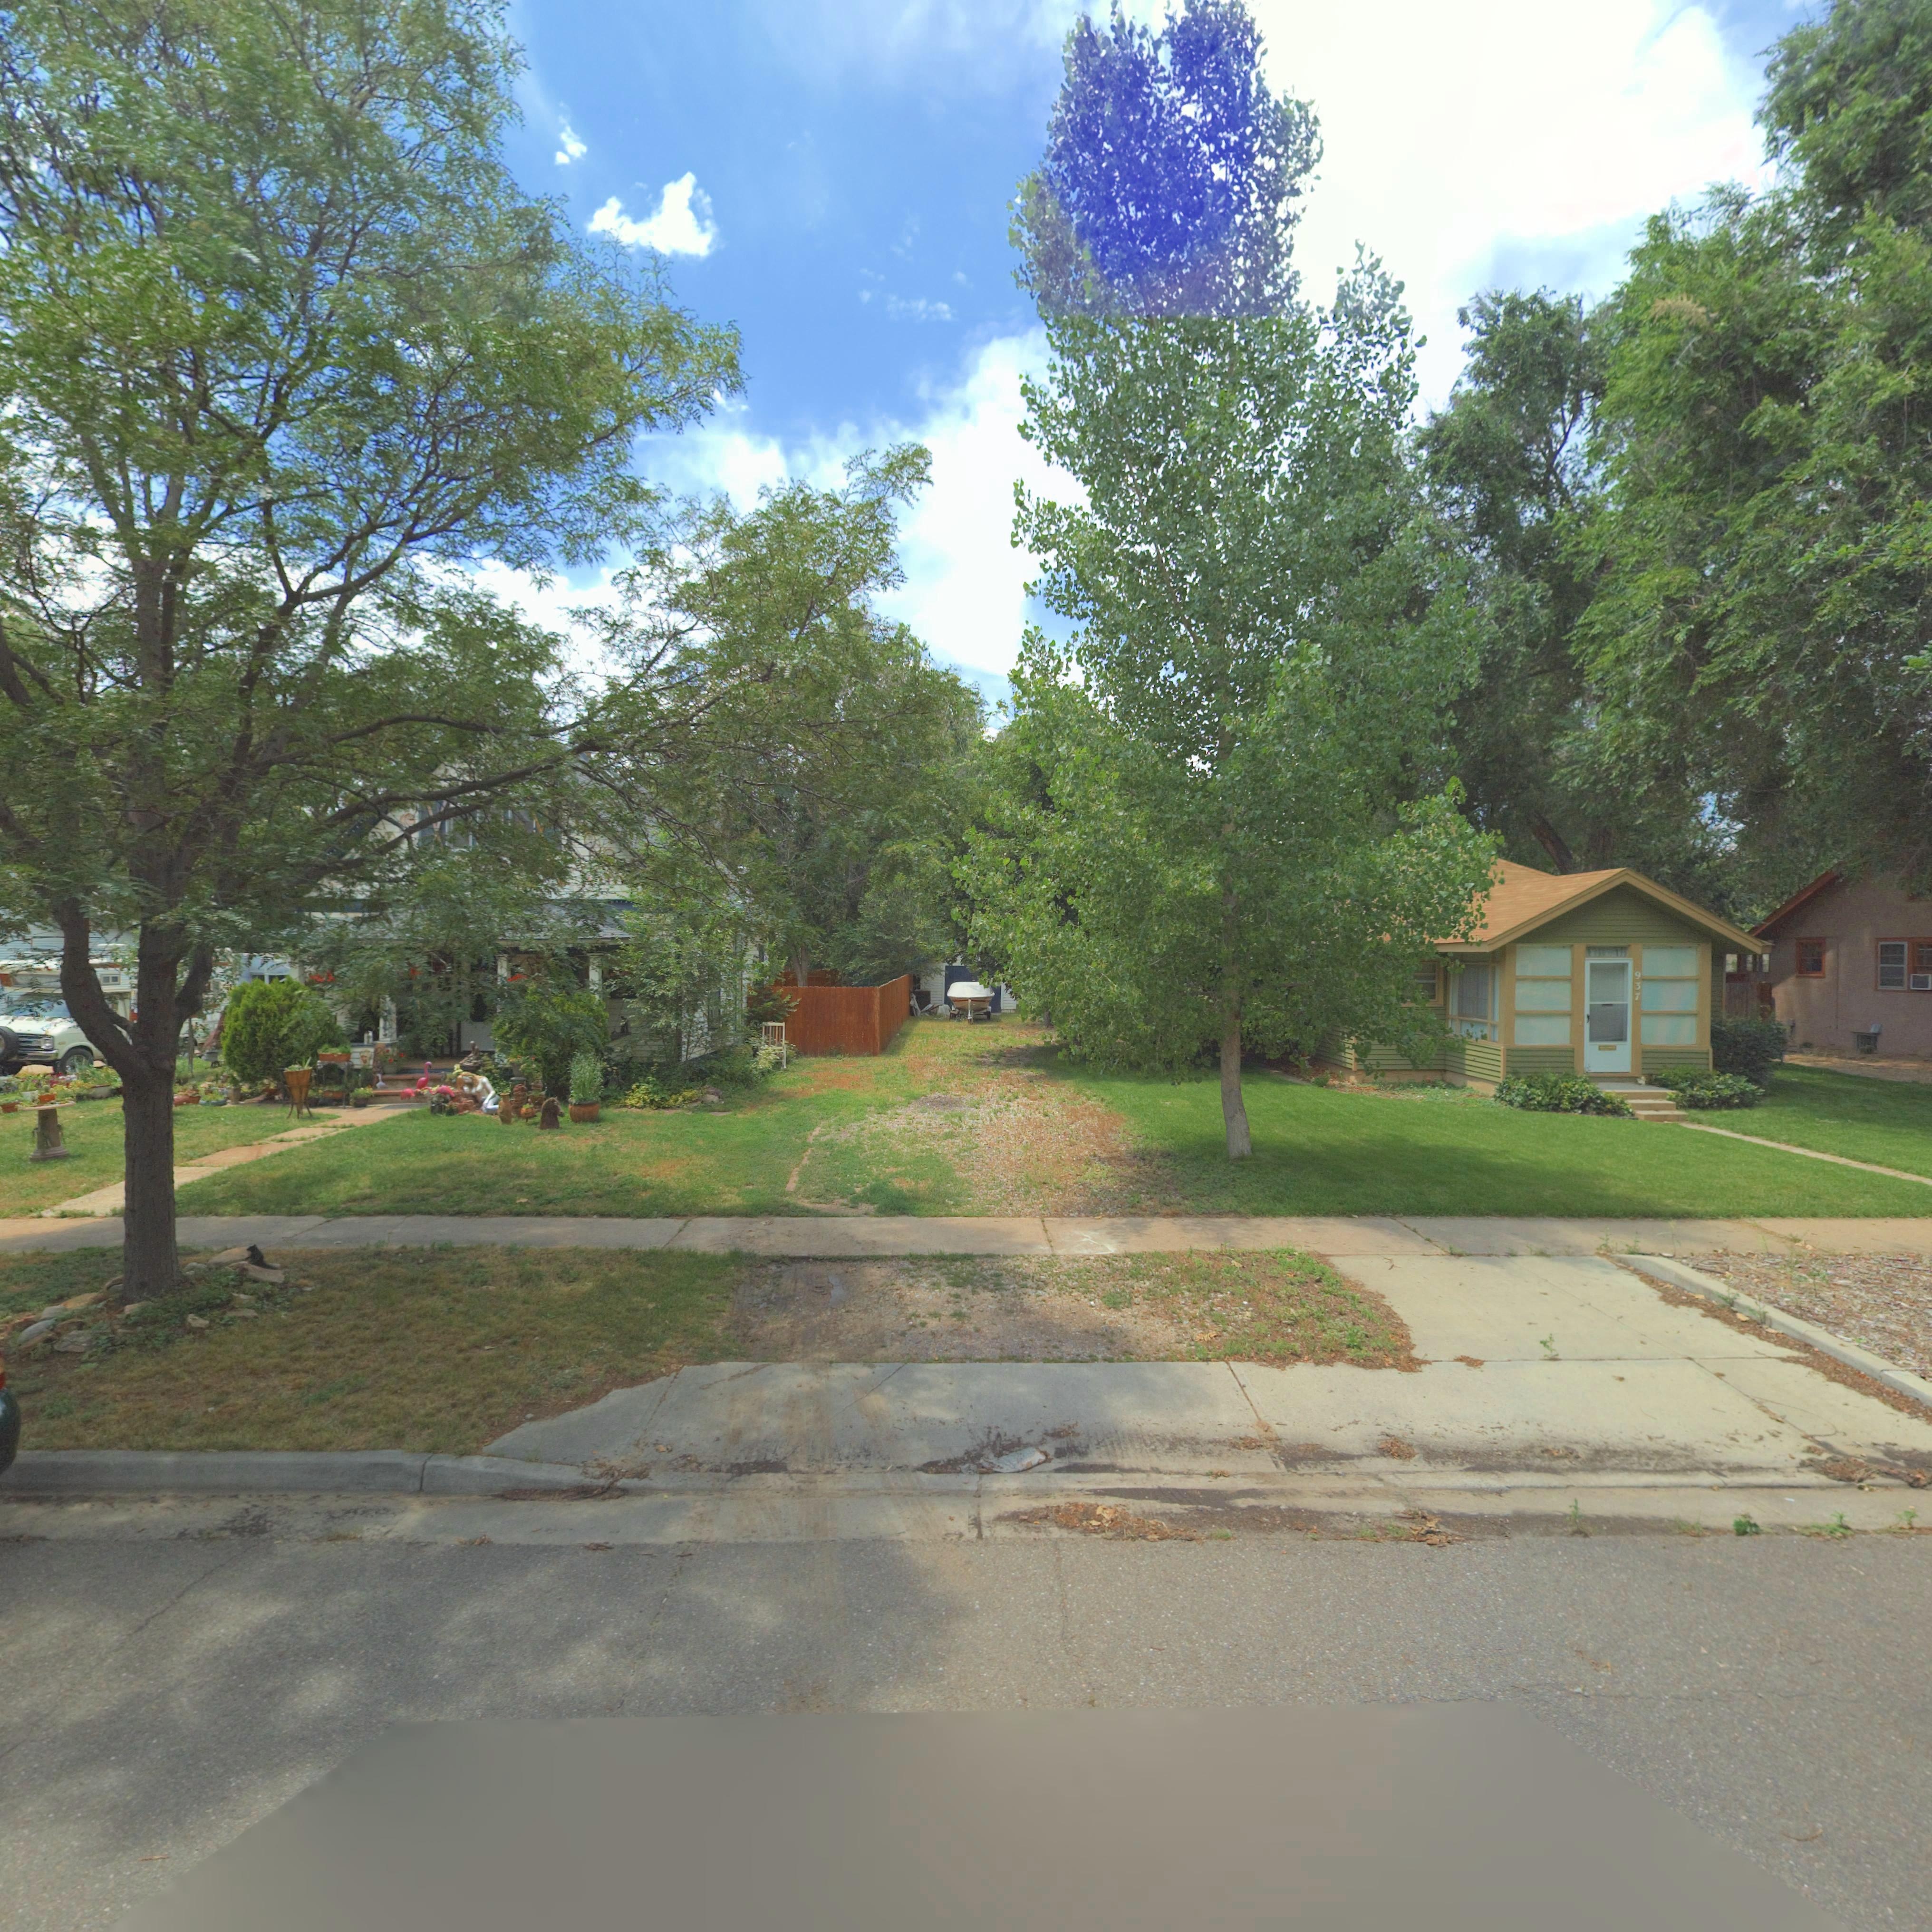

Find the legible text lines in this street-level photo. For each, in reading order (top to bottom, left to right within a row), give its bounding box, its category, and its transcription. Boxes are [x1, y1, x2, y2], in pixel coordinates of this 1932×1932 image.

[1634, 970, 1641, 1000] StreetNumber: 937 